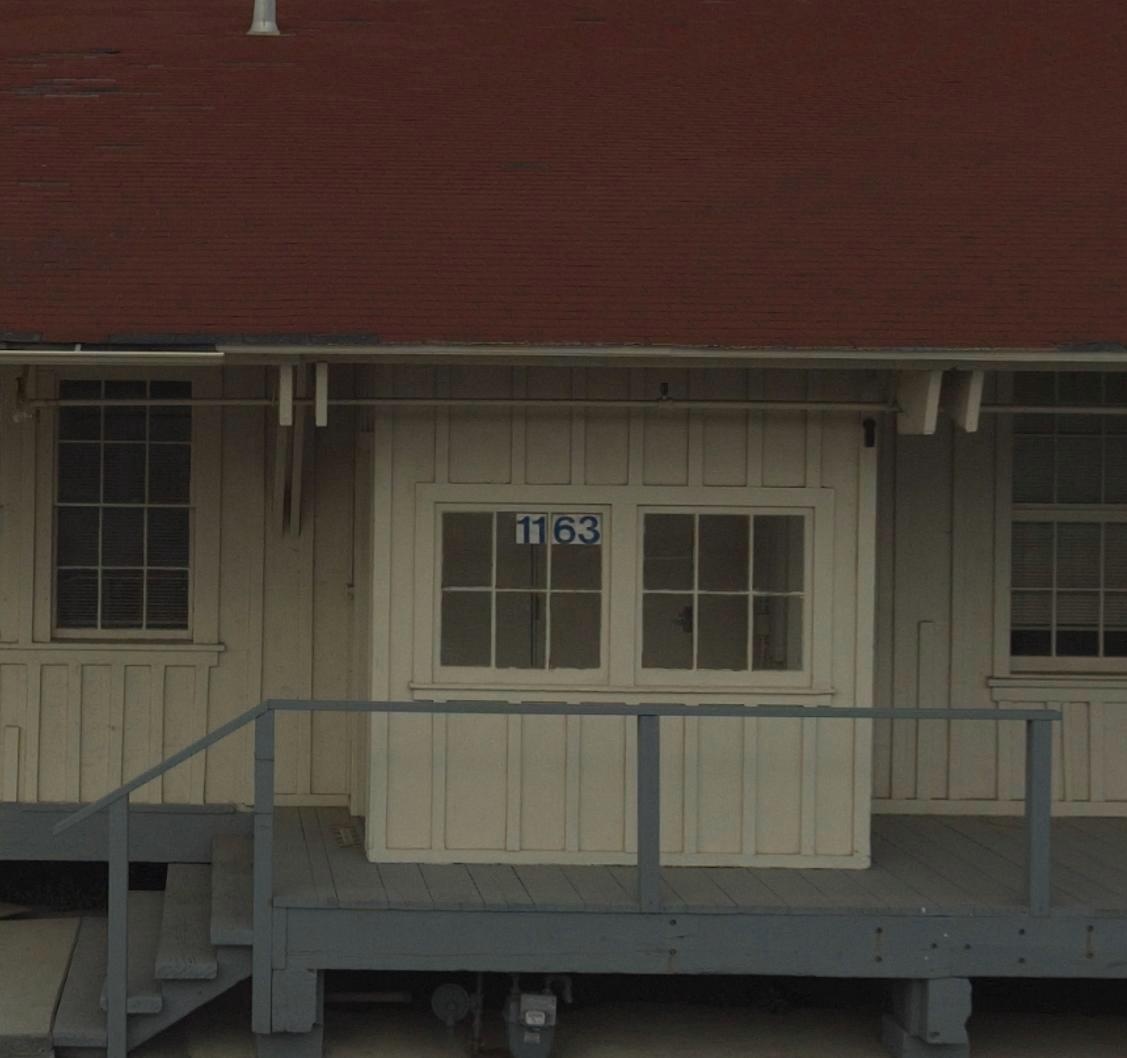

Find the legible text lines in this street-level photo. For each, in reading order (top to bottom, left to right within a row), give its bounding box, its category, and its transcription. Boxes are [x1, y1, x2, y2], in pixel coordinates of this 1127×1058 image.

[513, 512, 603, 547] StreetNumber: 1163